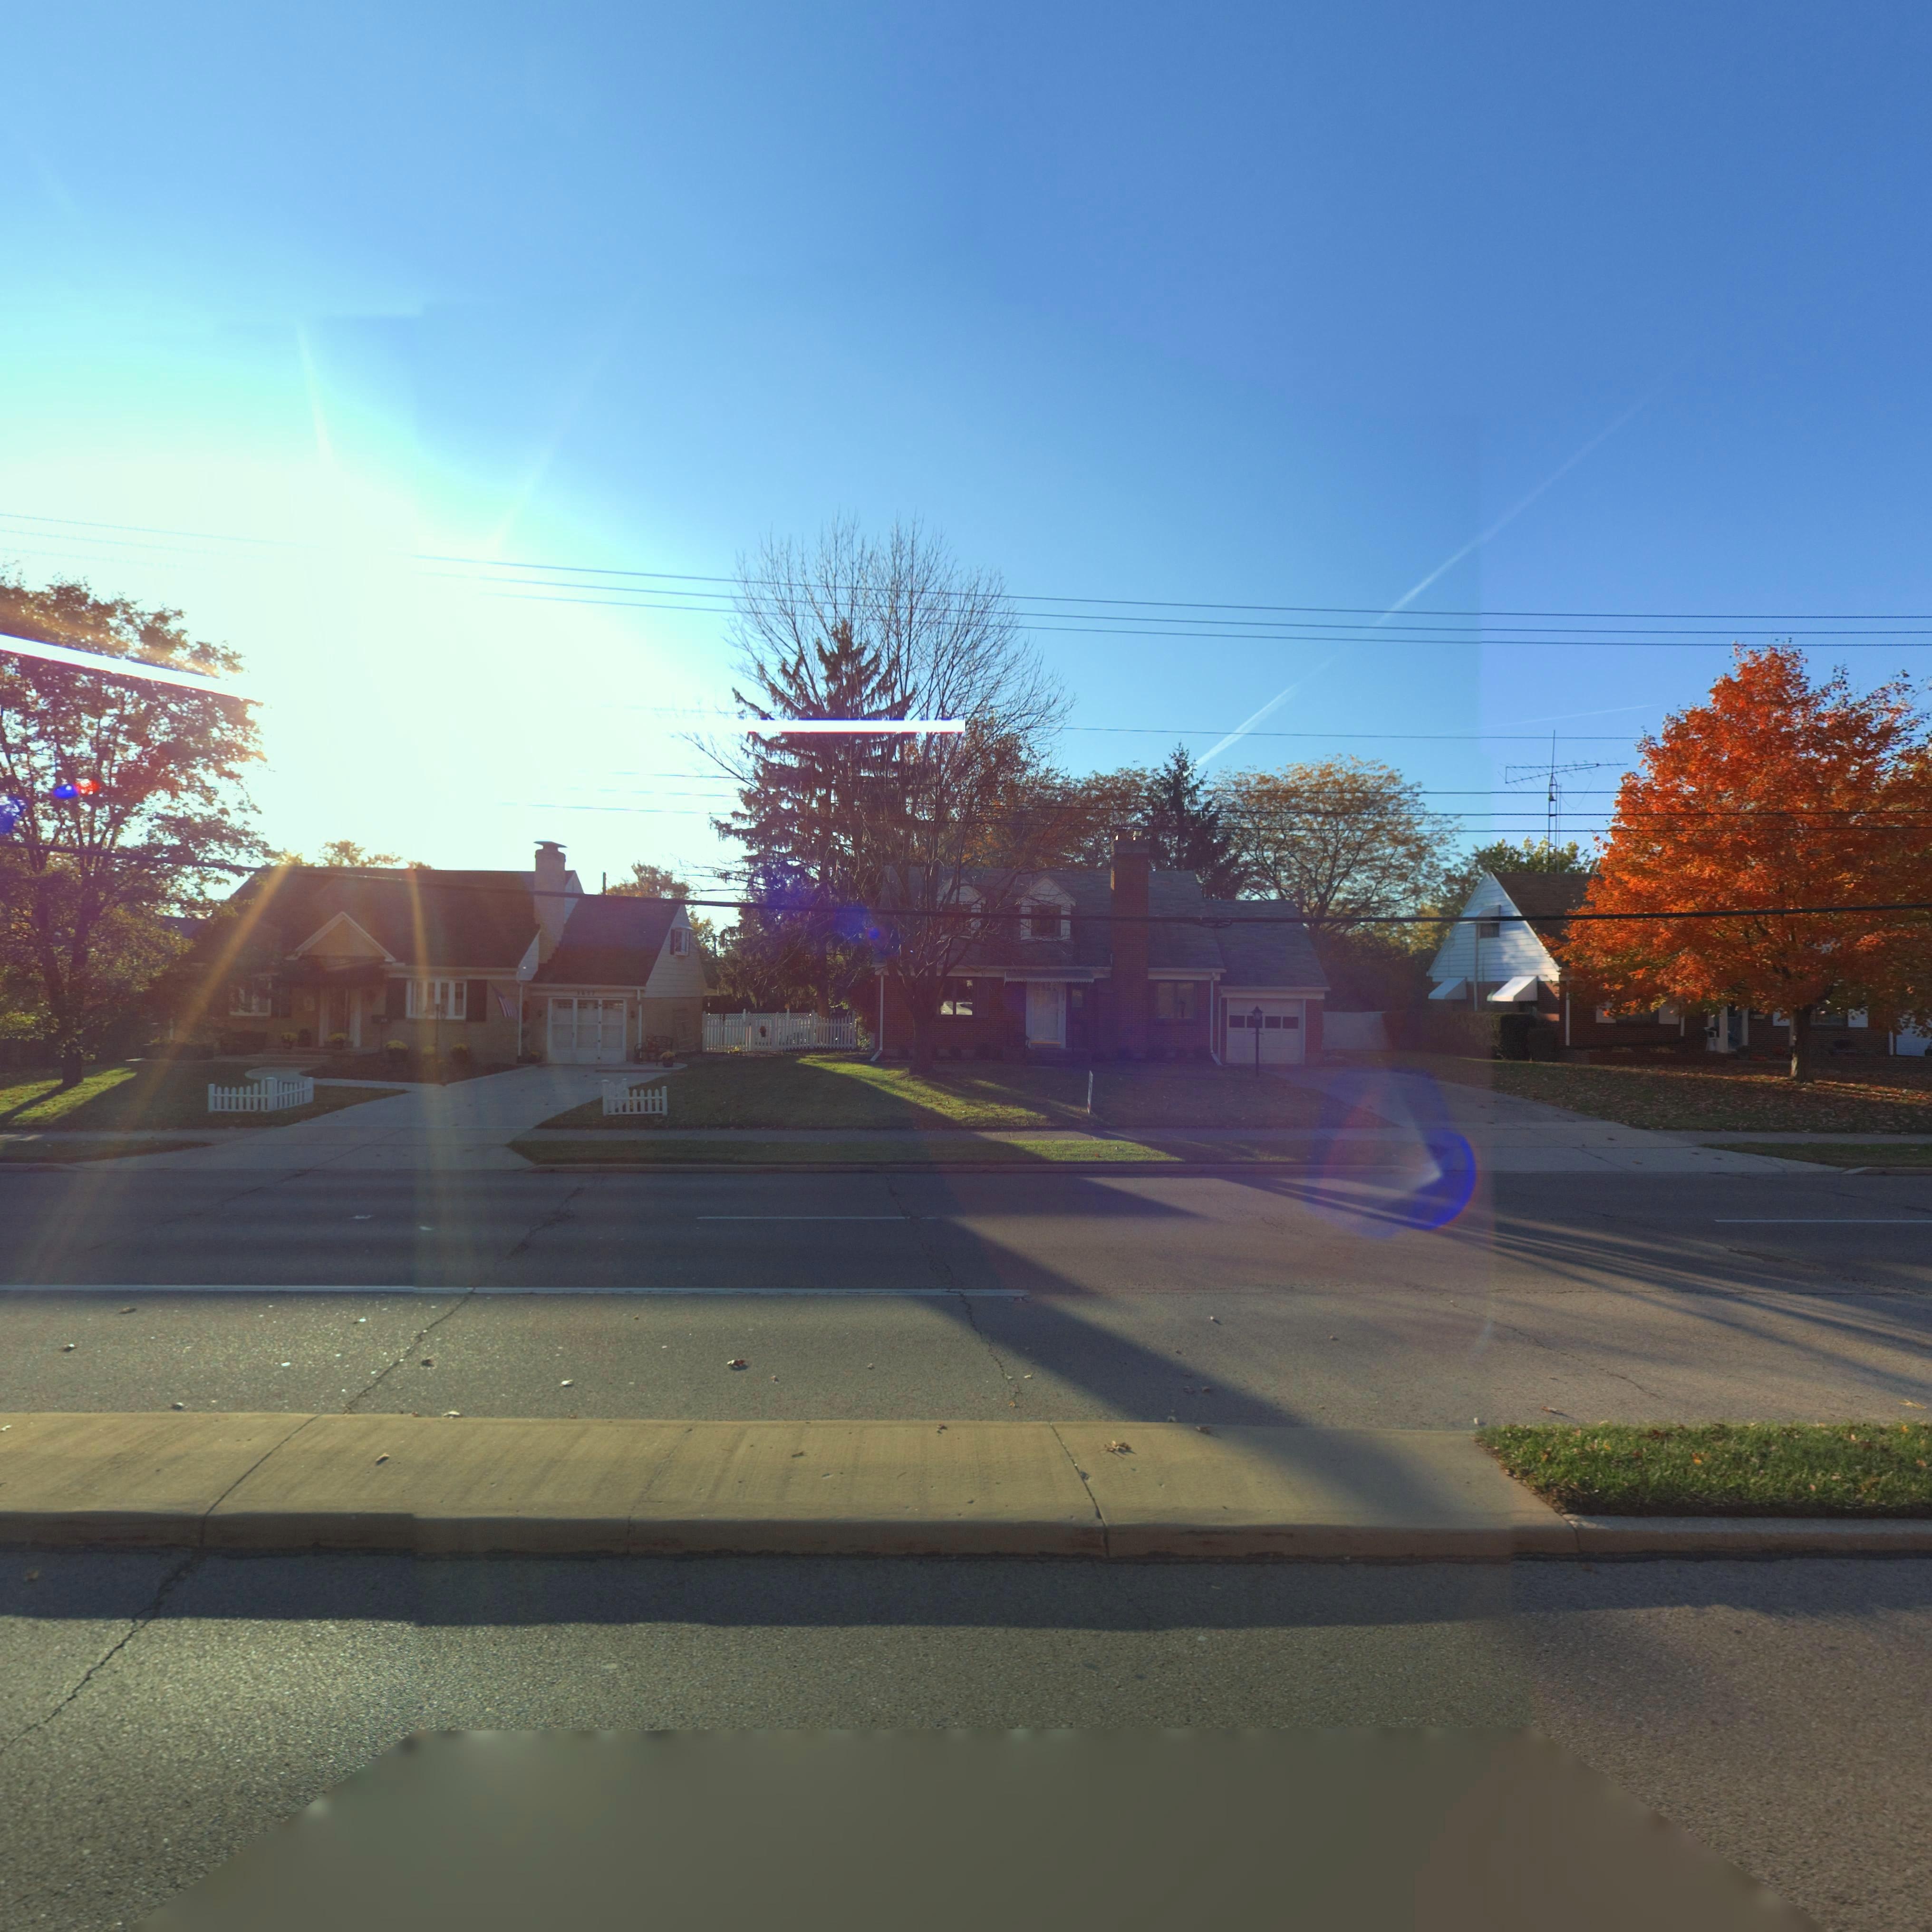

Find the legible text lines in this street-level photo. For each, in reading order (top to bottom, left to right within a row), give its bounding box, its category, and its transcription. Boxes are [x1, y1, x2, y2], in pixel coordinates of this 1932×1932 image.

[576, 990, 595, 995] StreetNumber: 3657